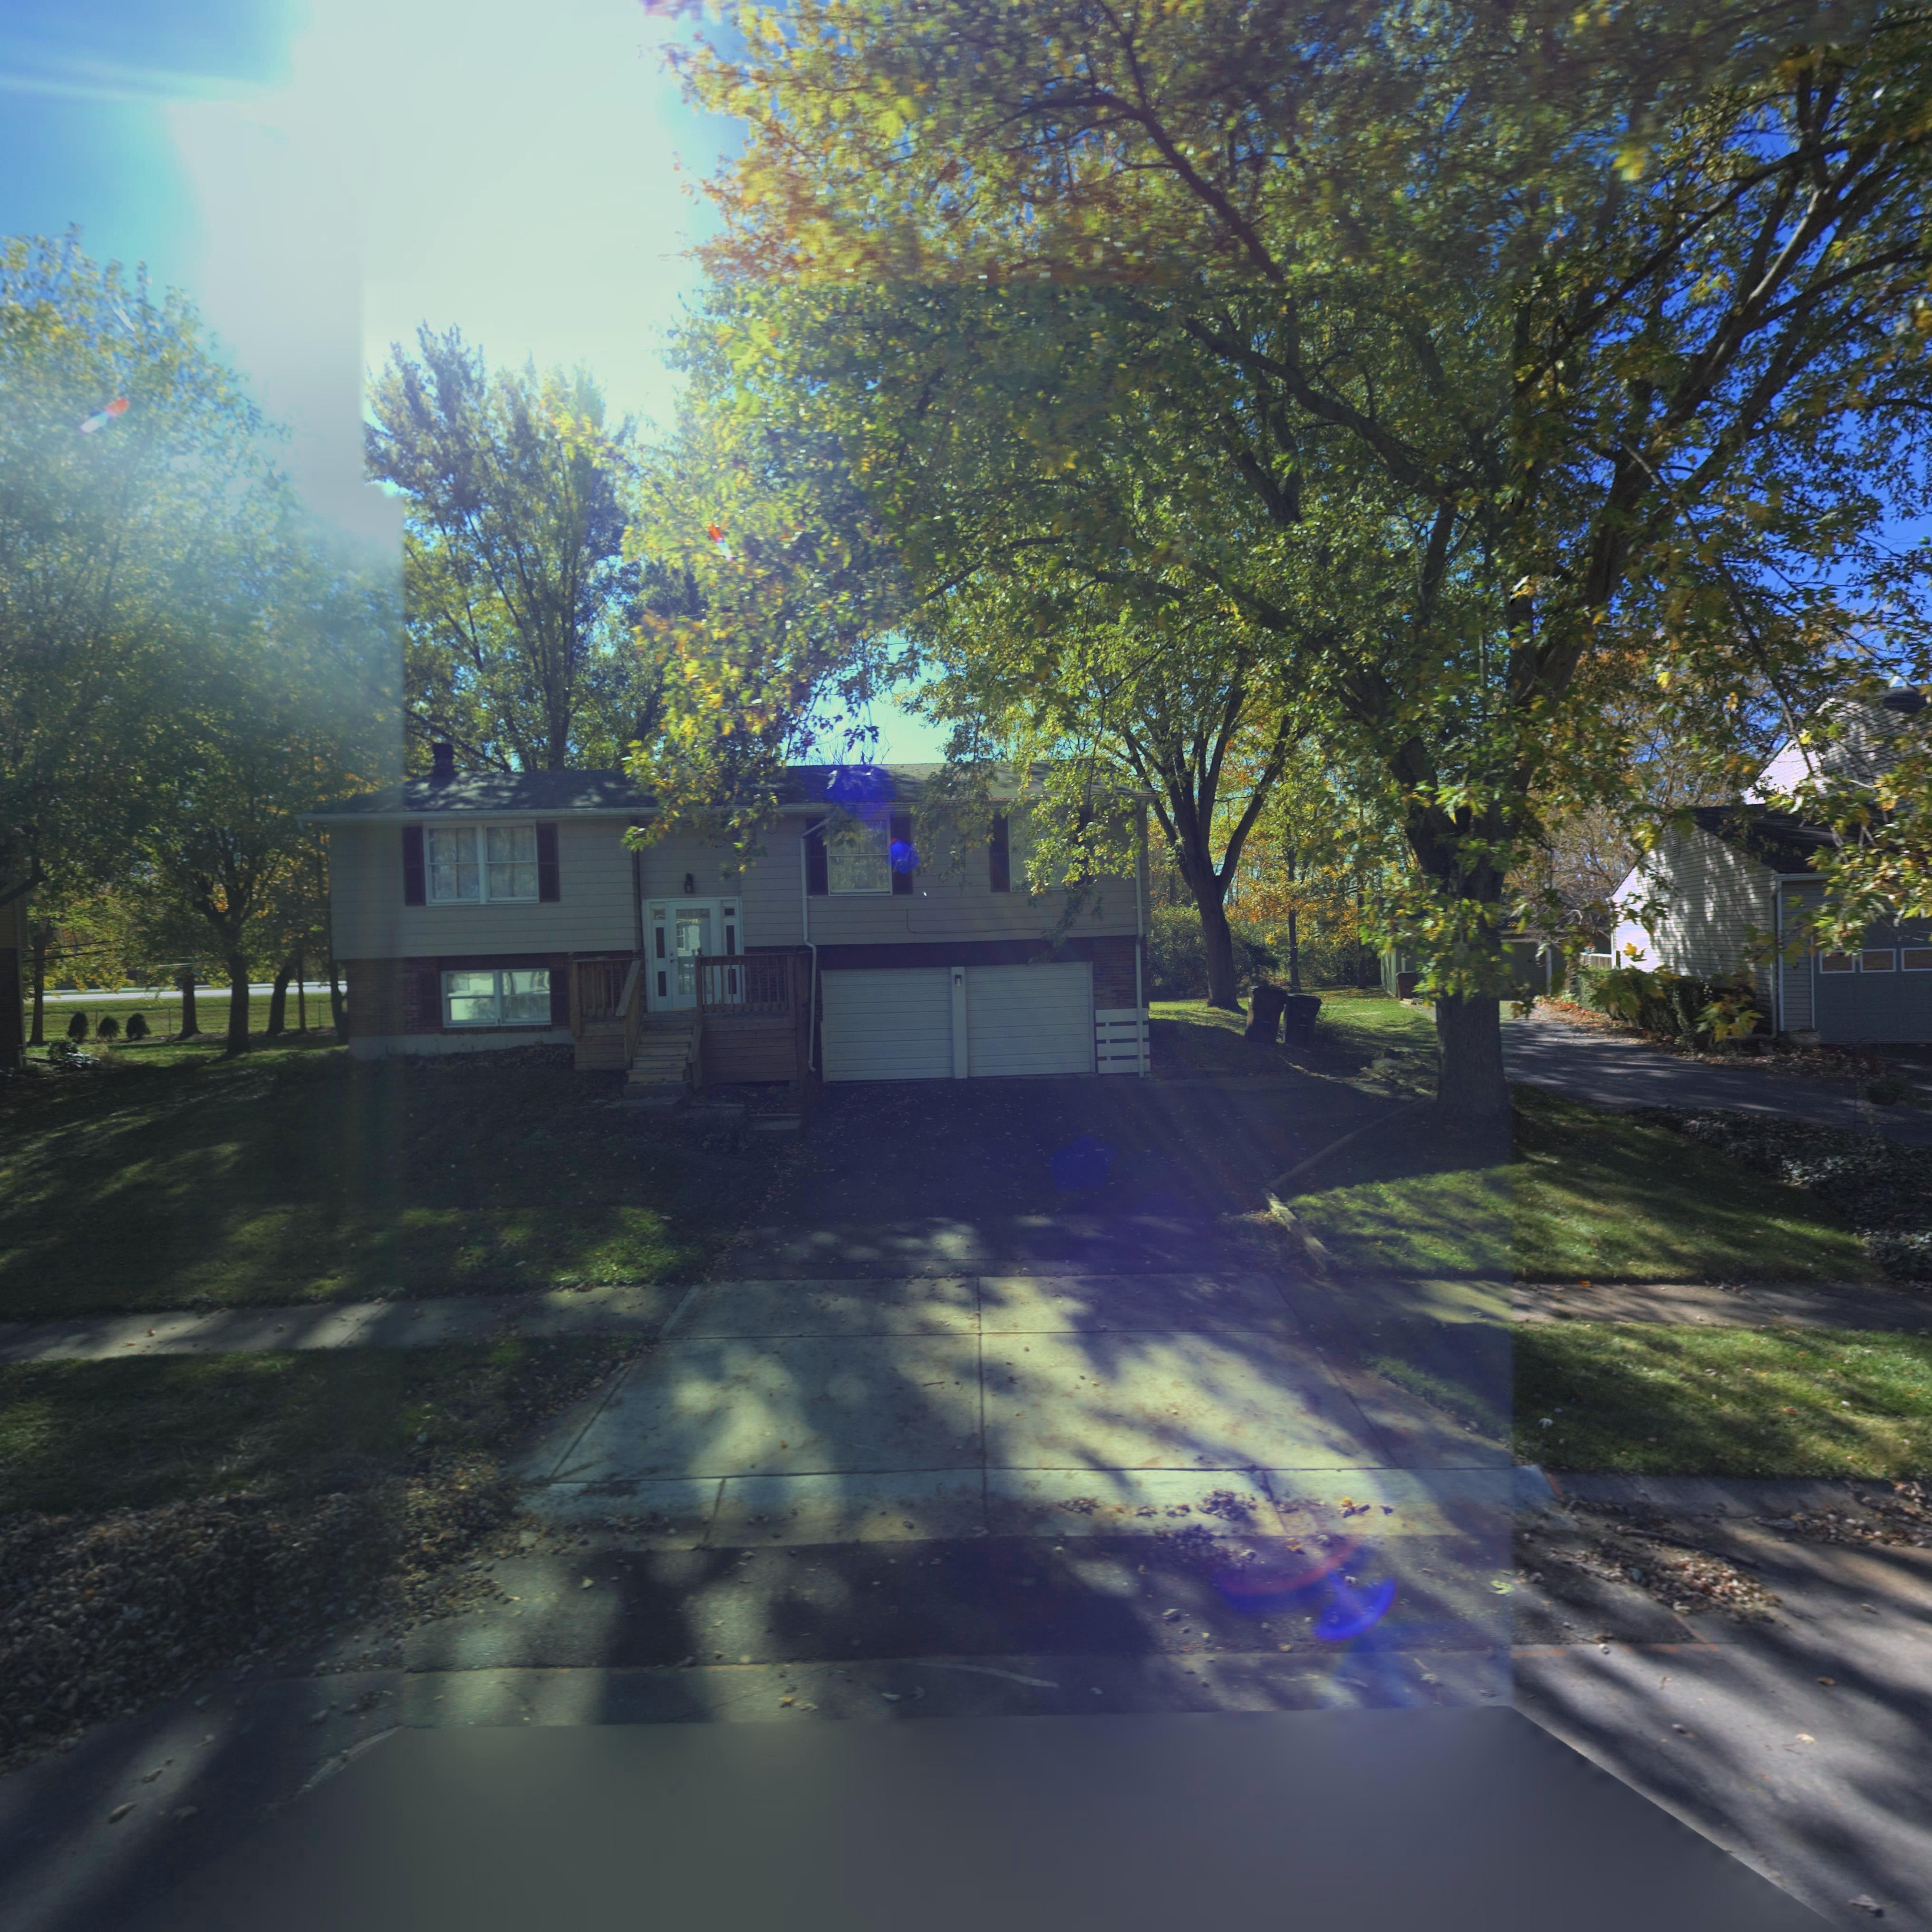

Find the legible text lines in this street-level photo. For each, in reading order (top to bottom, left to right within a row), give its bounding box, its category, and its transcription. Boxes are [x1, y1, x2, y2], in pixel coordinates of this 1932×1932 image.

[688, 918, 701, 924] StreetNumber: *17